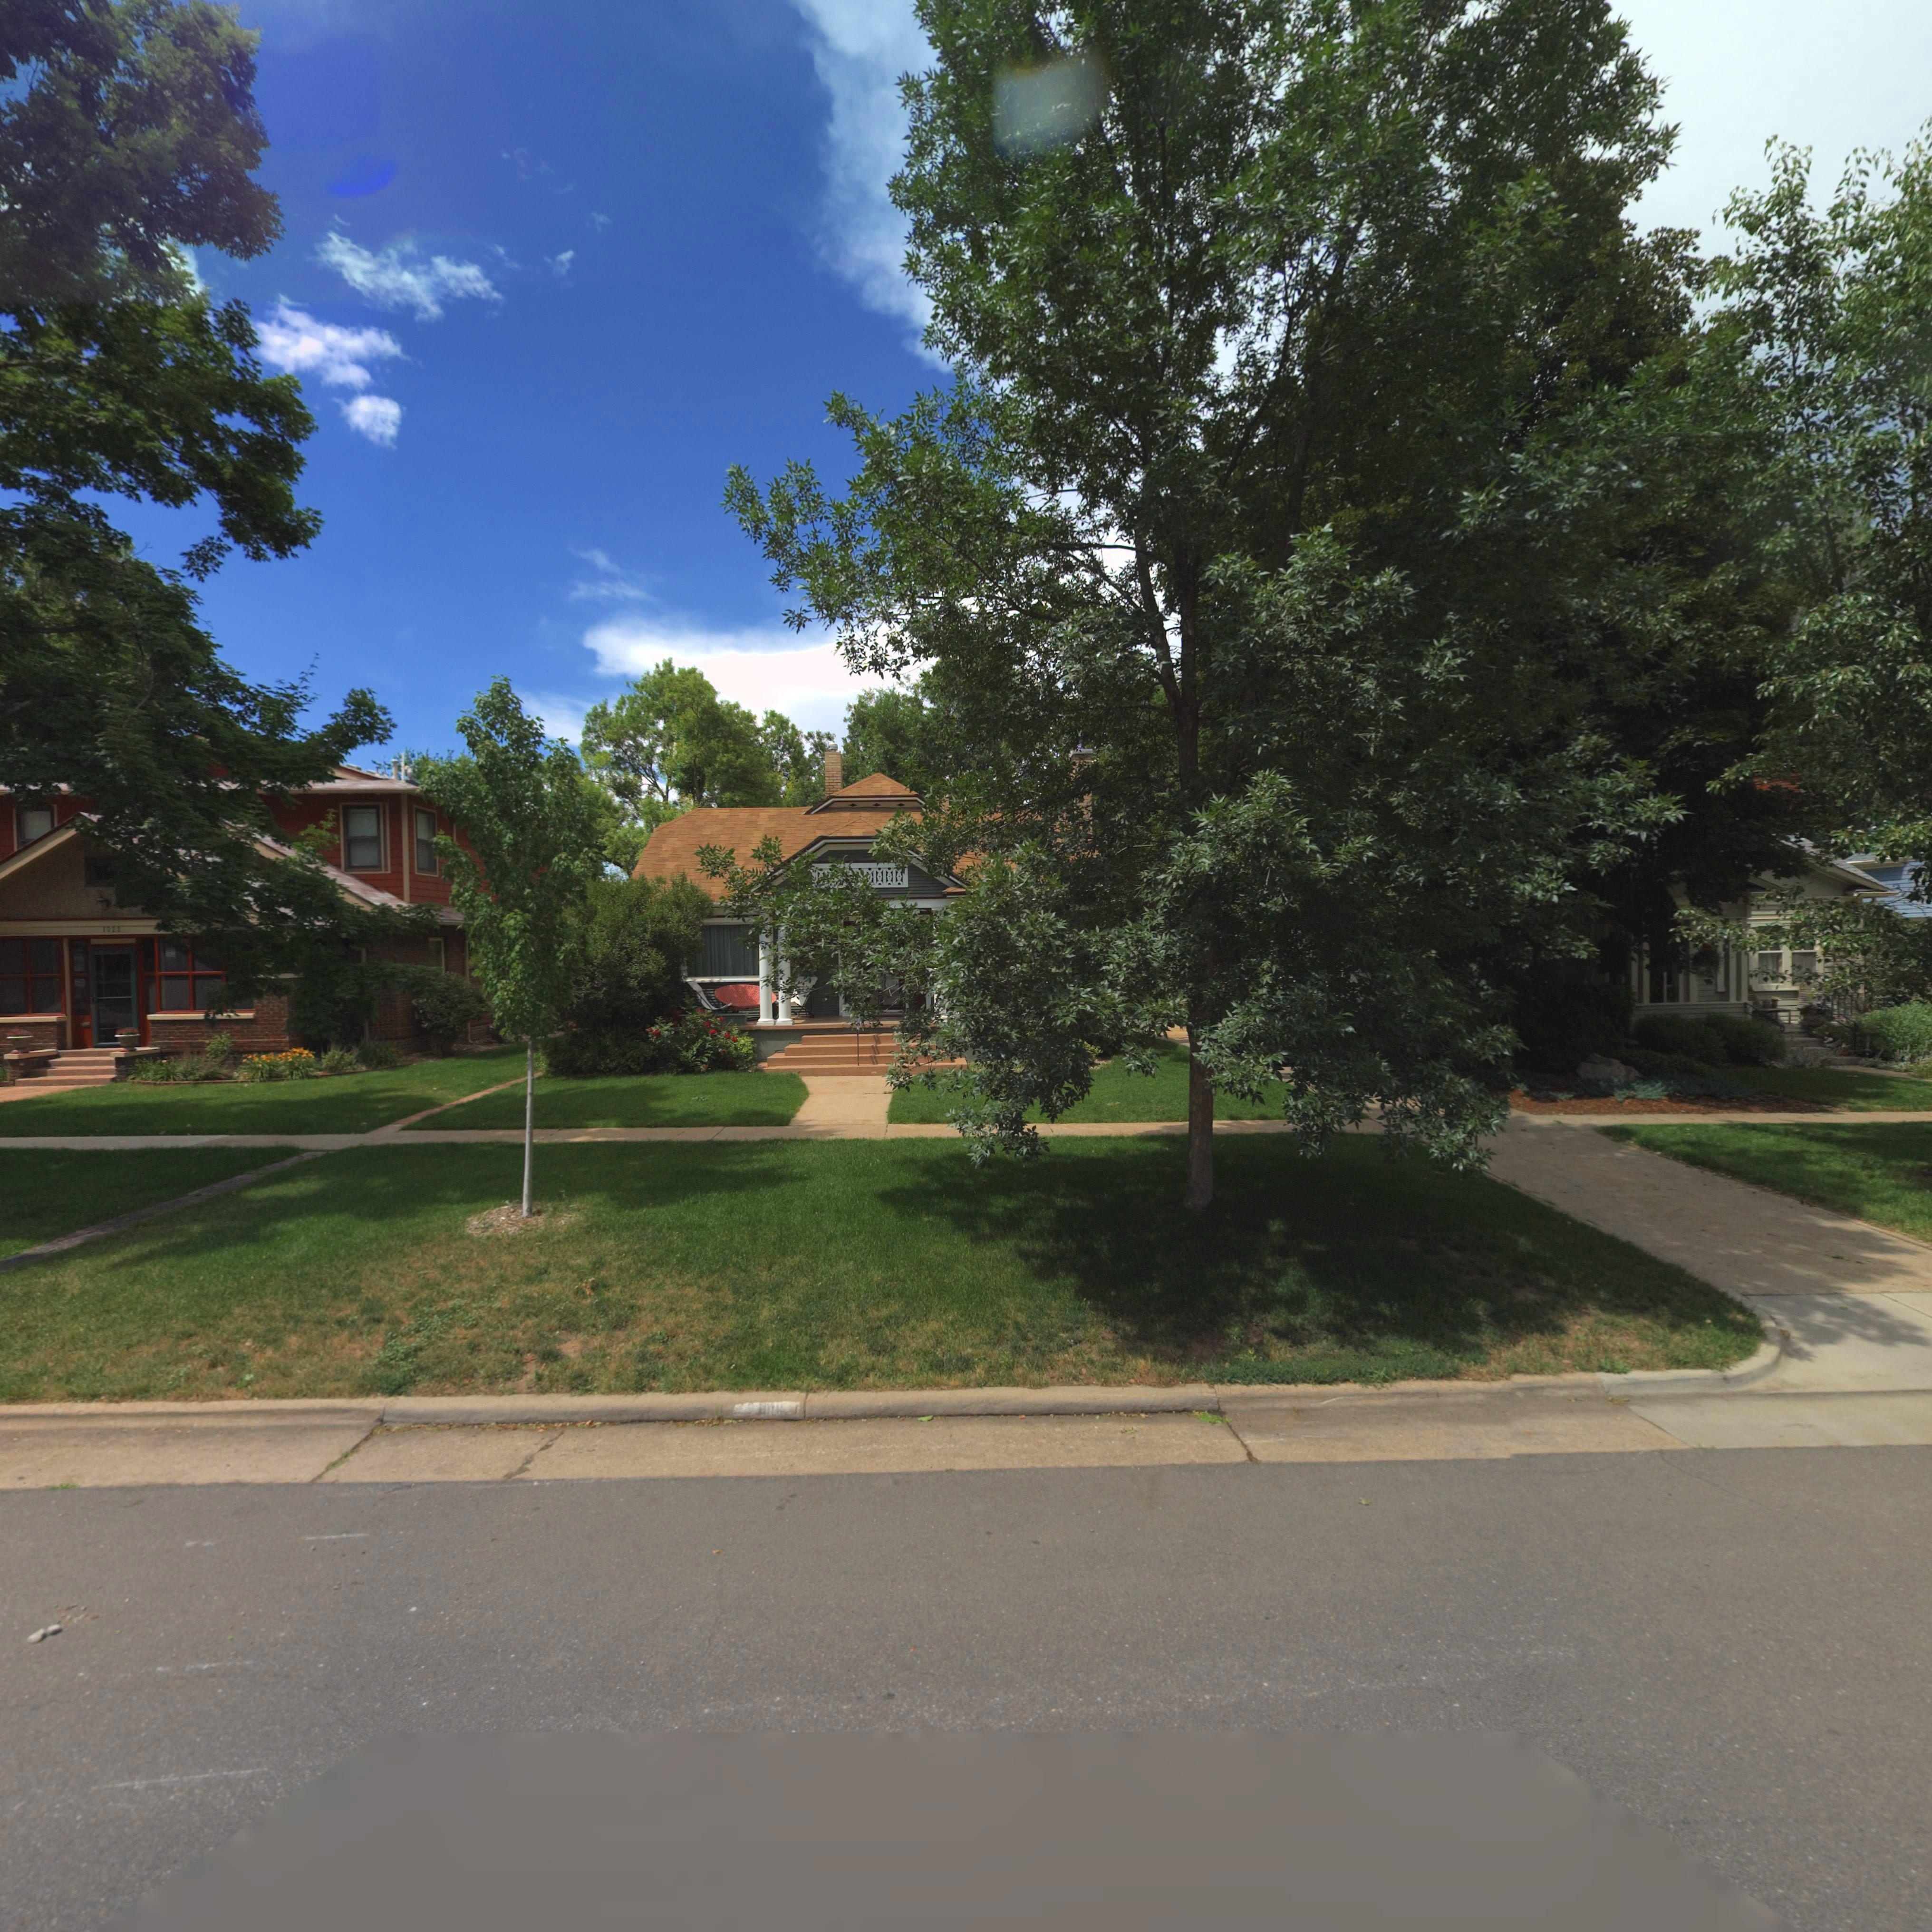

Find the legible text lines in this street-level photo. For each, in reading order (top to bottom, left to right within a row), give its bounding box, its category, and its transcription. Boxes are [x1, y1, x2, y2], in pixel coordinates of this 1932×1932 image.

[102, 925, 121, 933] StreetNumber: 1022
[756, 1403, 784, 1416] StreetNumber: **14